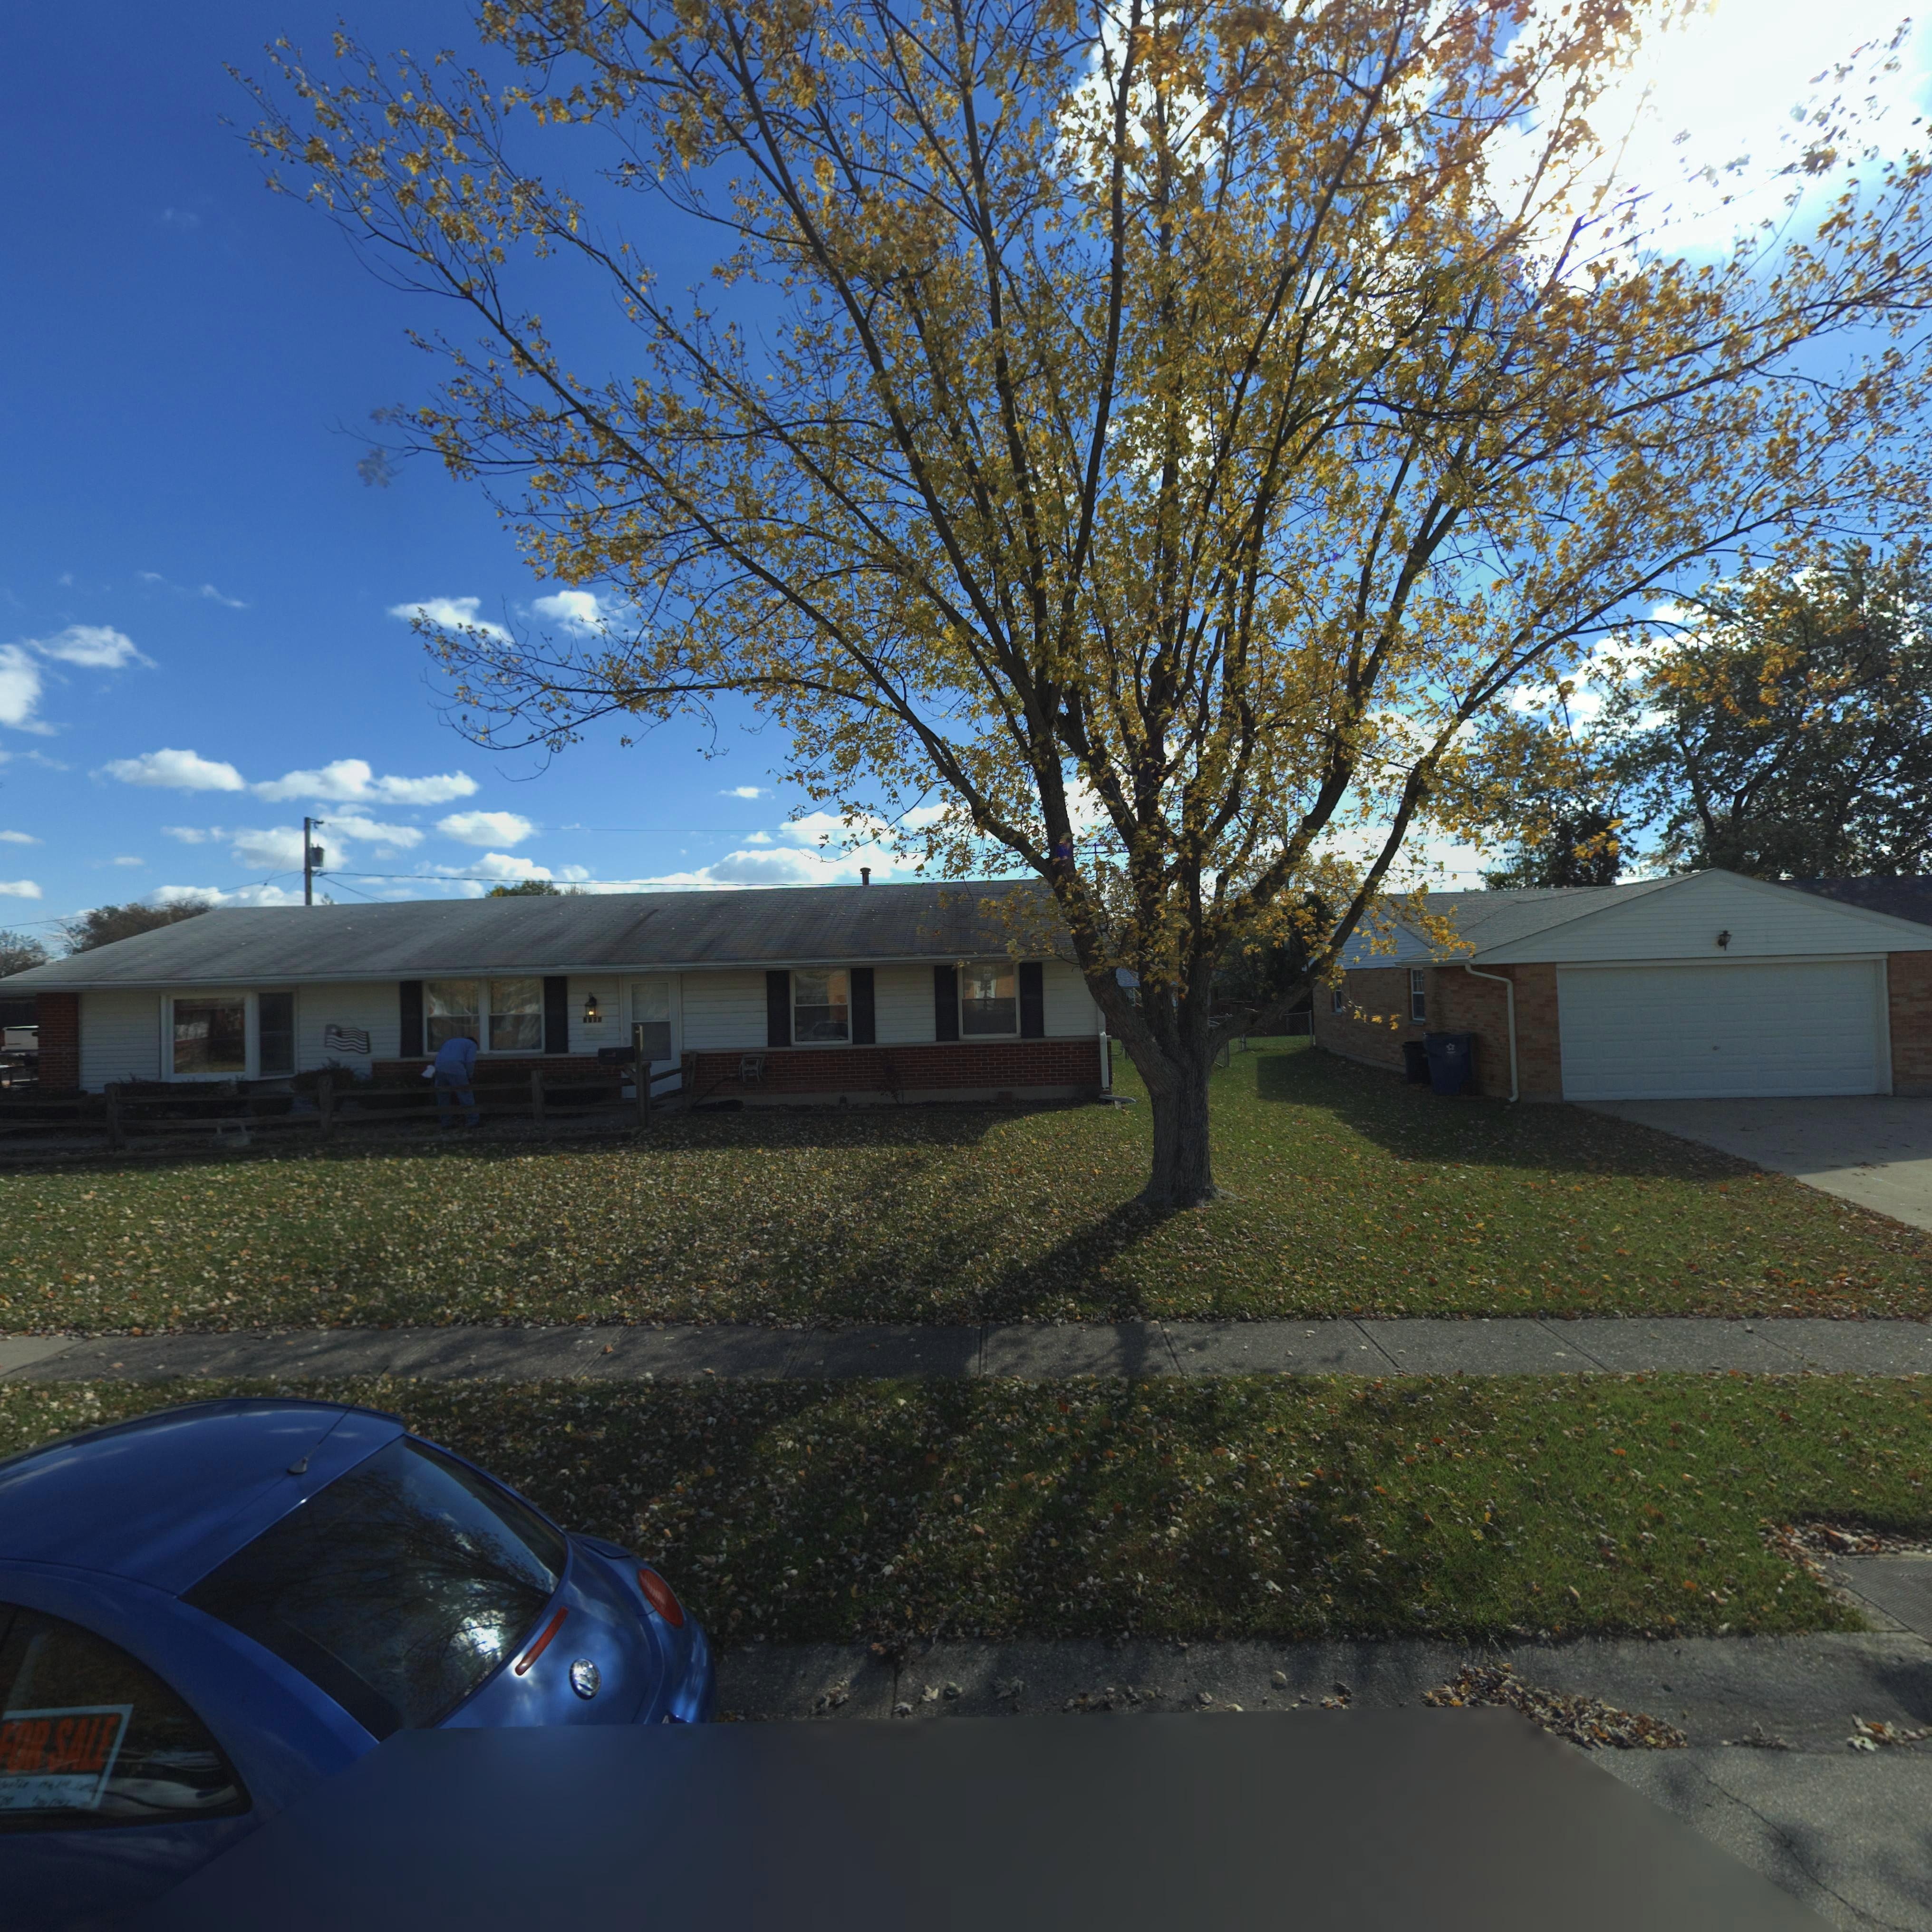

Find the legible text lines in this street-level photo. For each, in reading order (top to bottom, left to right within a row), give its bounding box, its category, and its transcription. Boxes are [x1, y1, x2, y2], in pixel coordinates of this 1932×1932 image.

[583, 1016, 602, 1023] StreetNumber: 7*8*